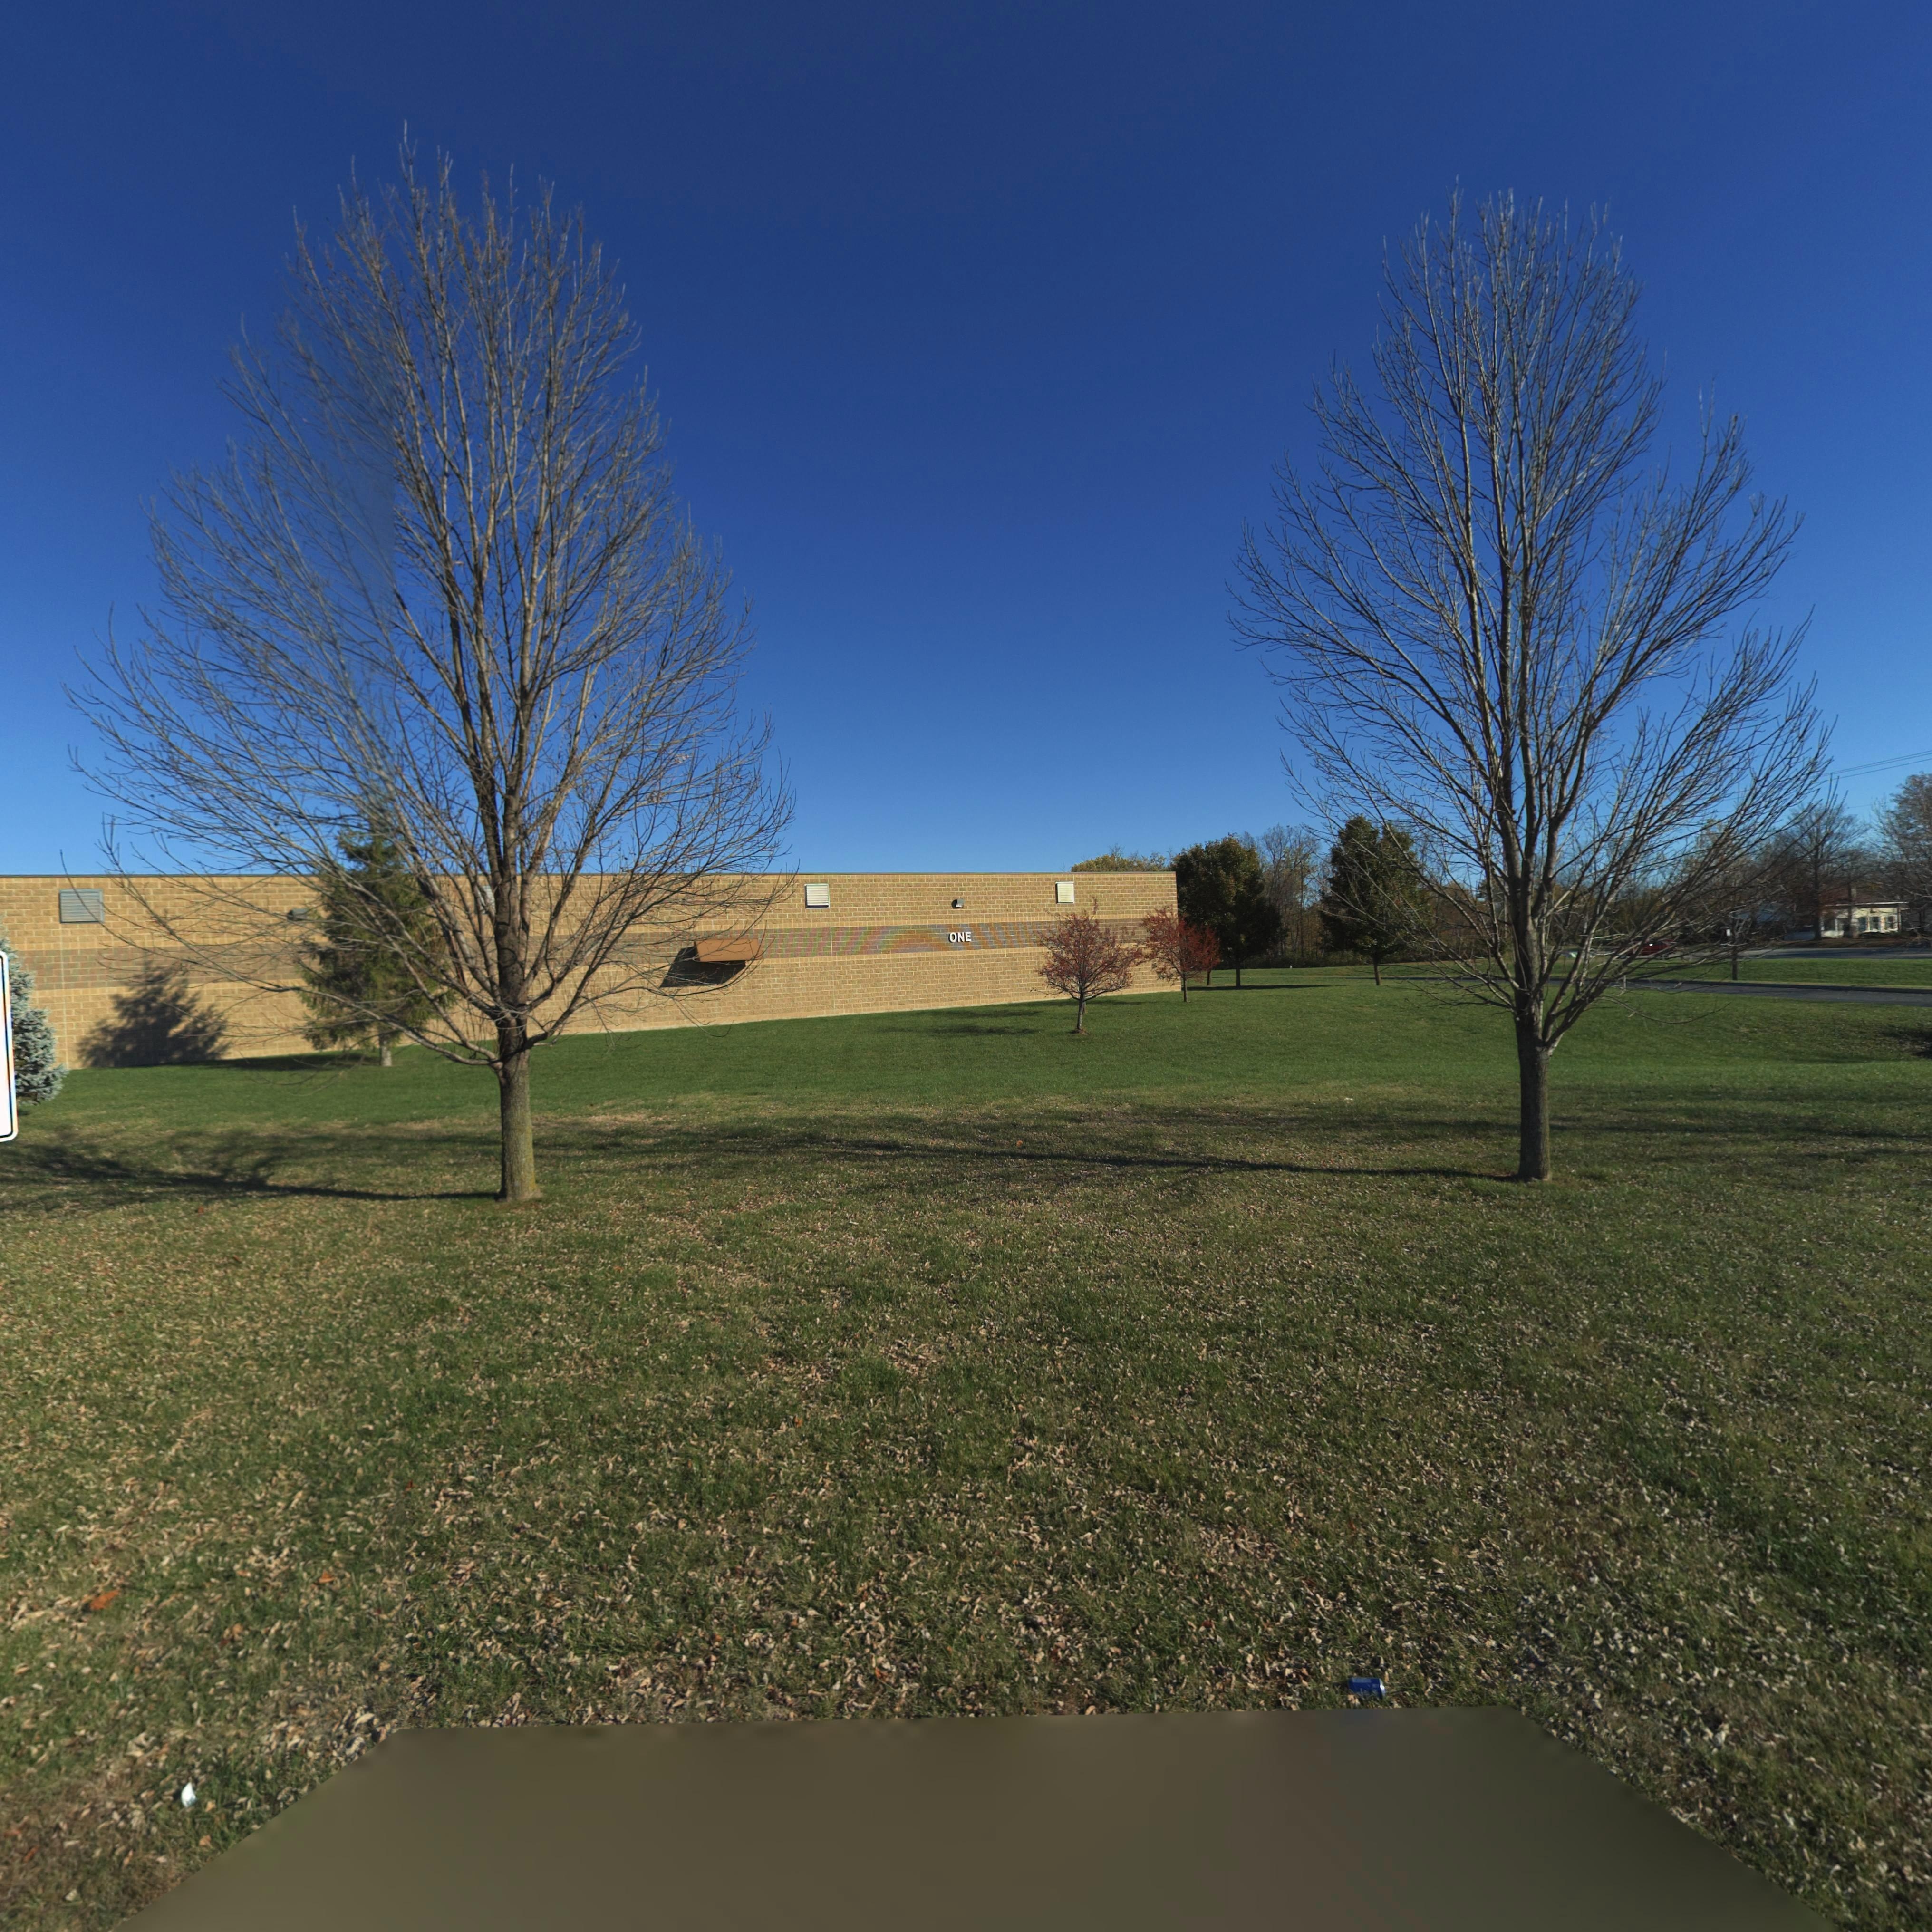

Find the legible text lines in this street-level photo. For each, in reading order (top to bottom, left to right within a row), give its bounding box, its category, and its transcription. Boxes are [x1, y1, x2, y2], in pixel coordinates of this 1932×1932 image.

[949, 931, 972, 943] StreetNumber: ONE